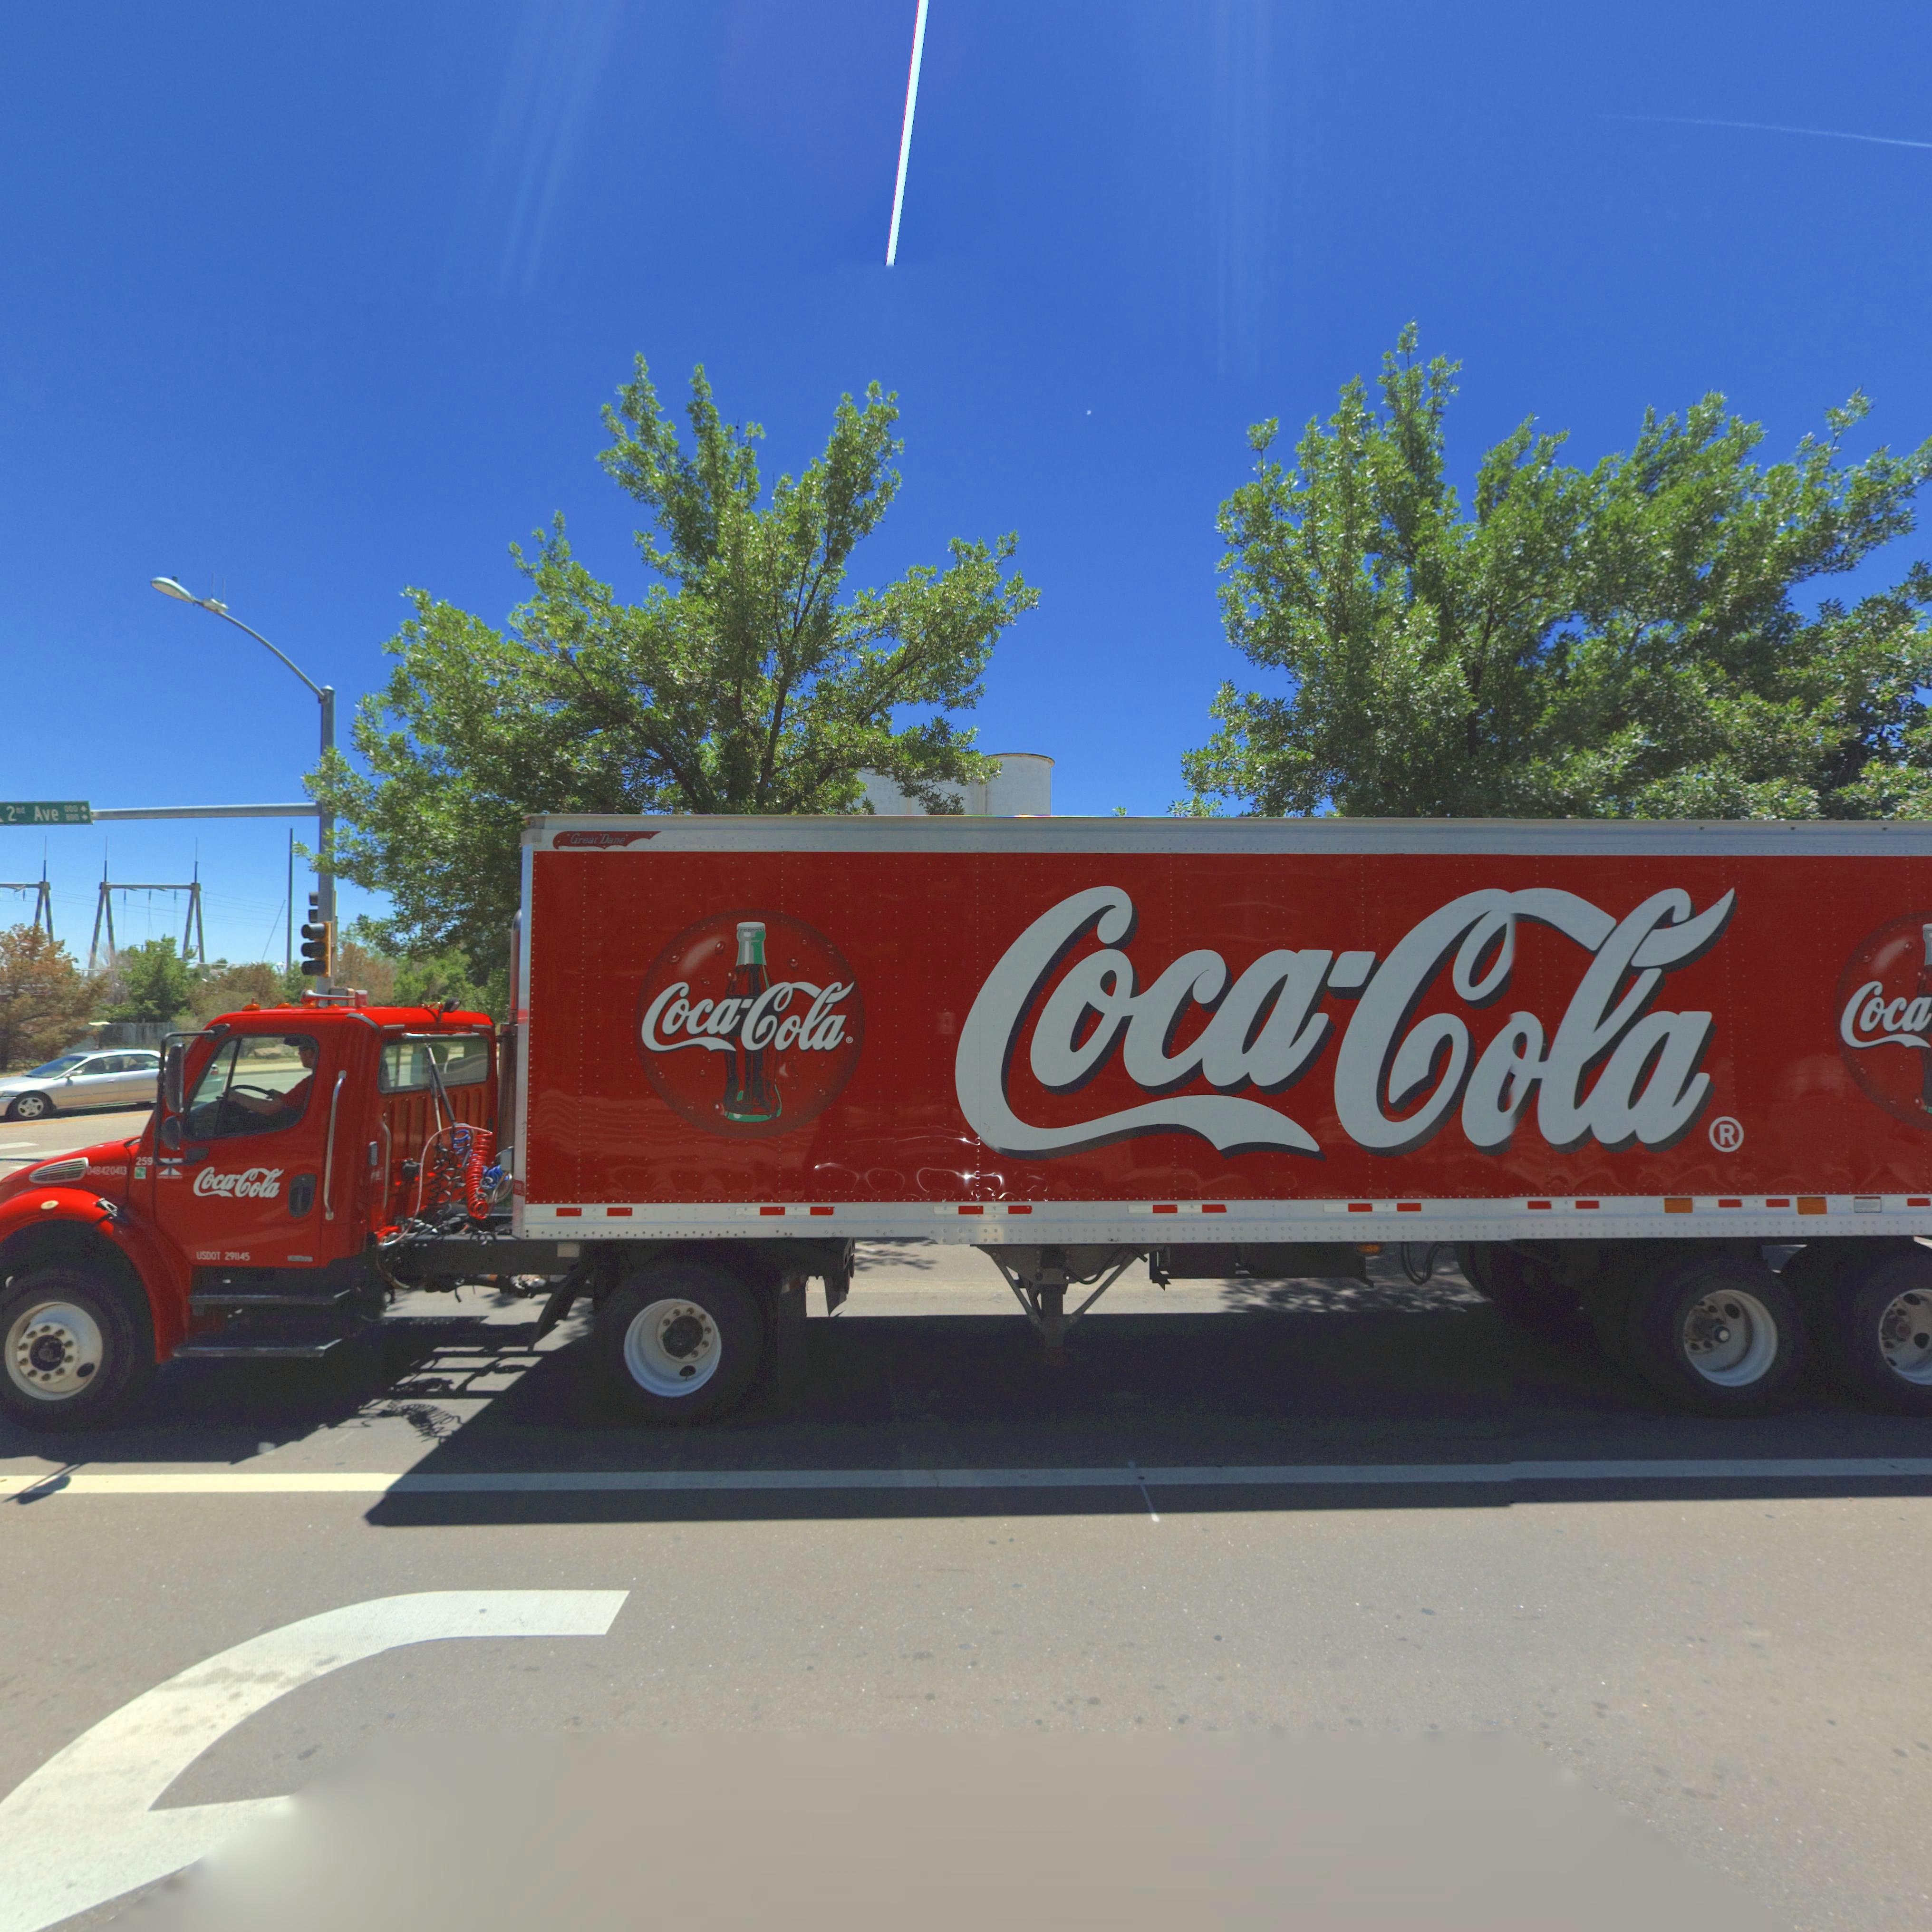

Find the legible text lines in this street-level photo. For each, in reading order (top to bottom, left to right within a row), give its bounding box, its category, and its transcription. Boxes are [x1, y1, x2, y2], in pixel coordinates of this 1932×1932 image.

[63, 804, 78, 812] StreetNumberRange: 000
[5, 804, 59, 821] StreetName: 2nd Ave
[65, 813, 89, 821] StreetNumberRange: 800->